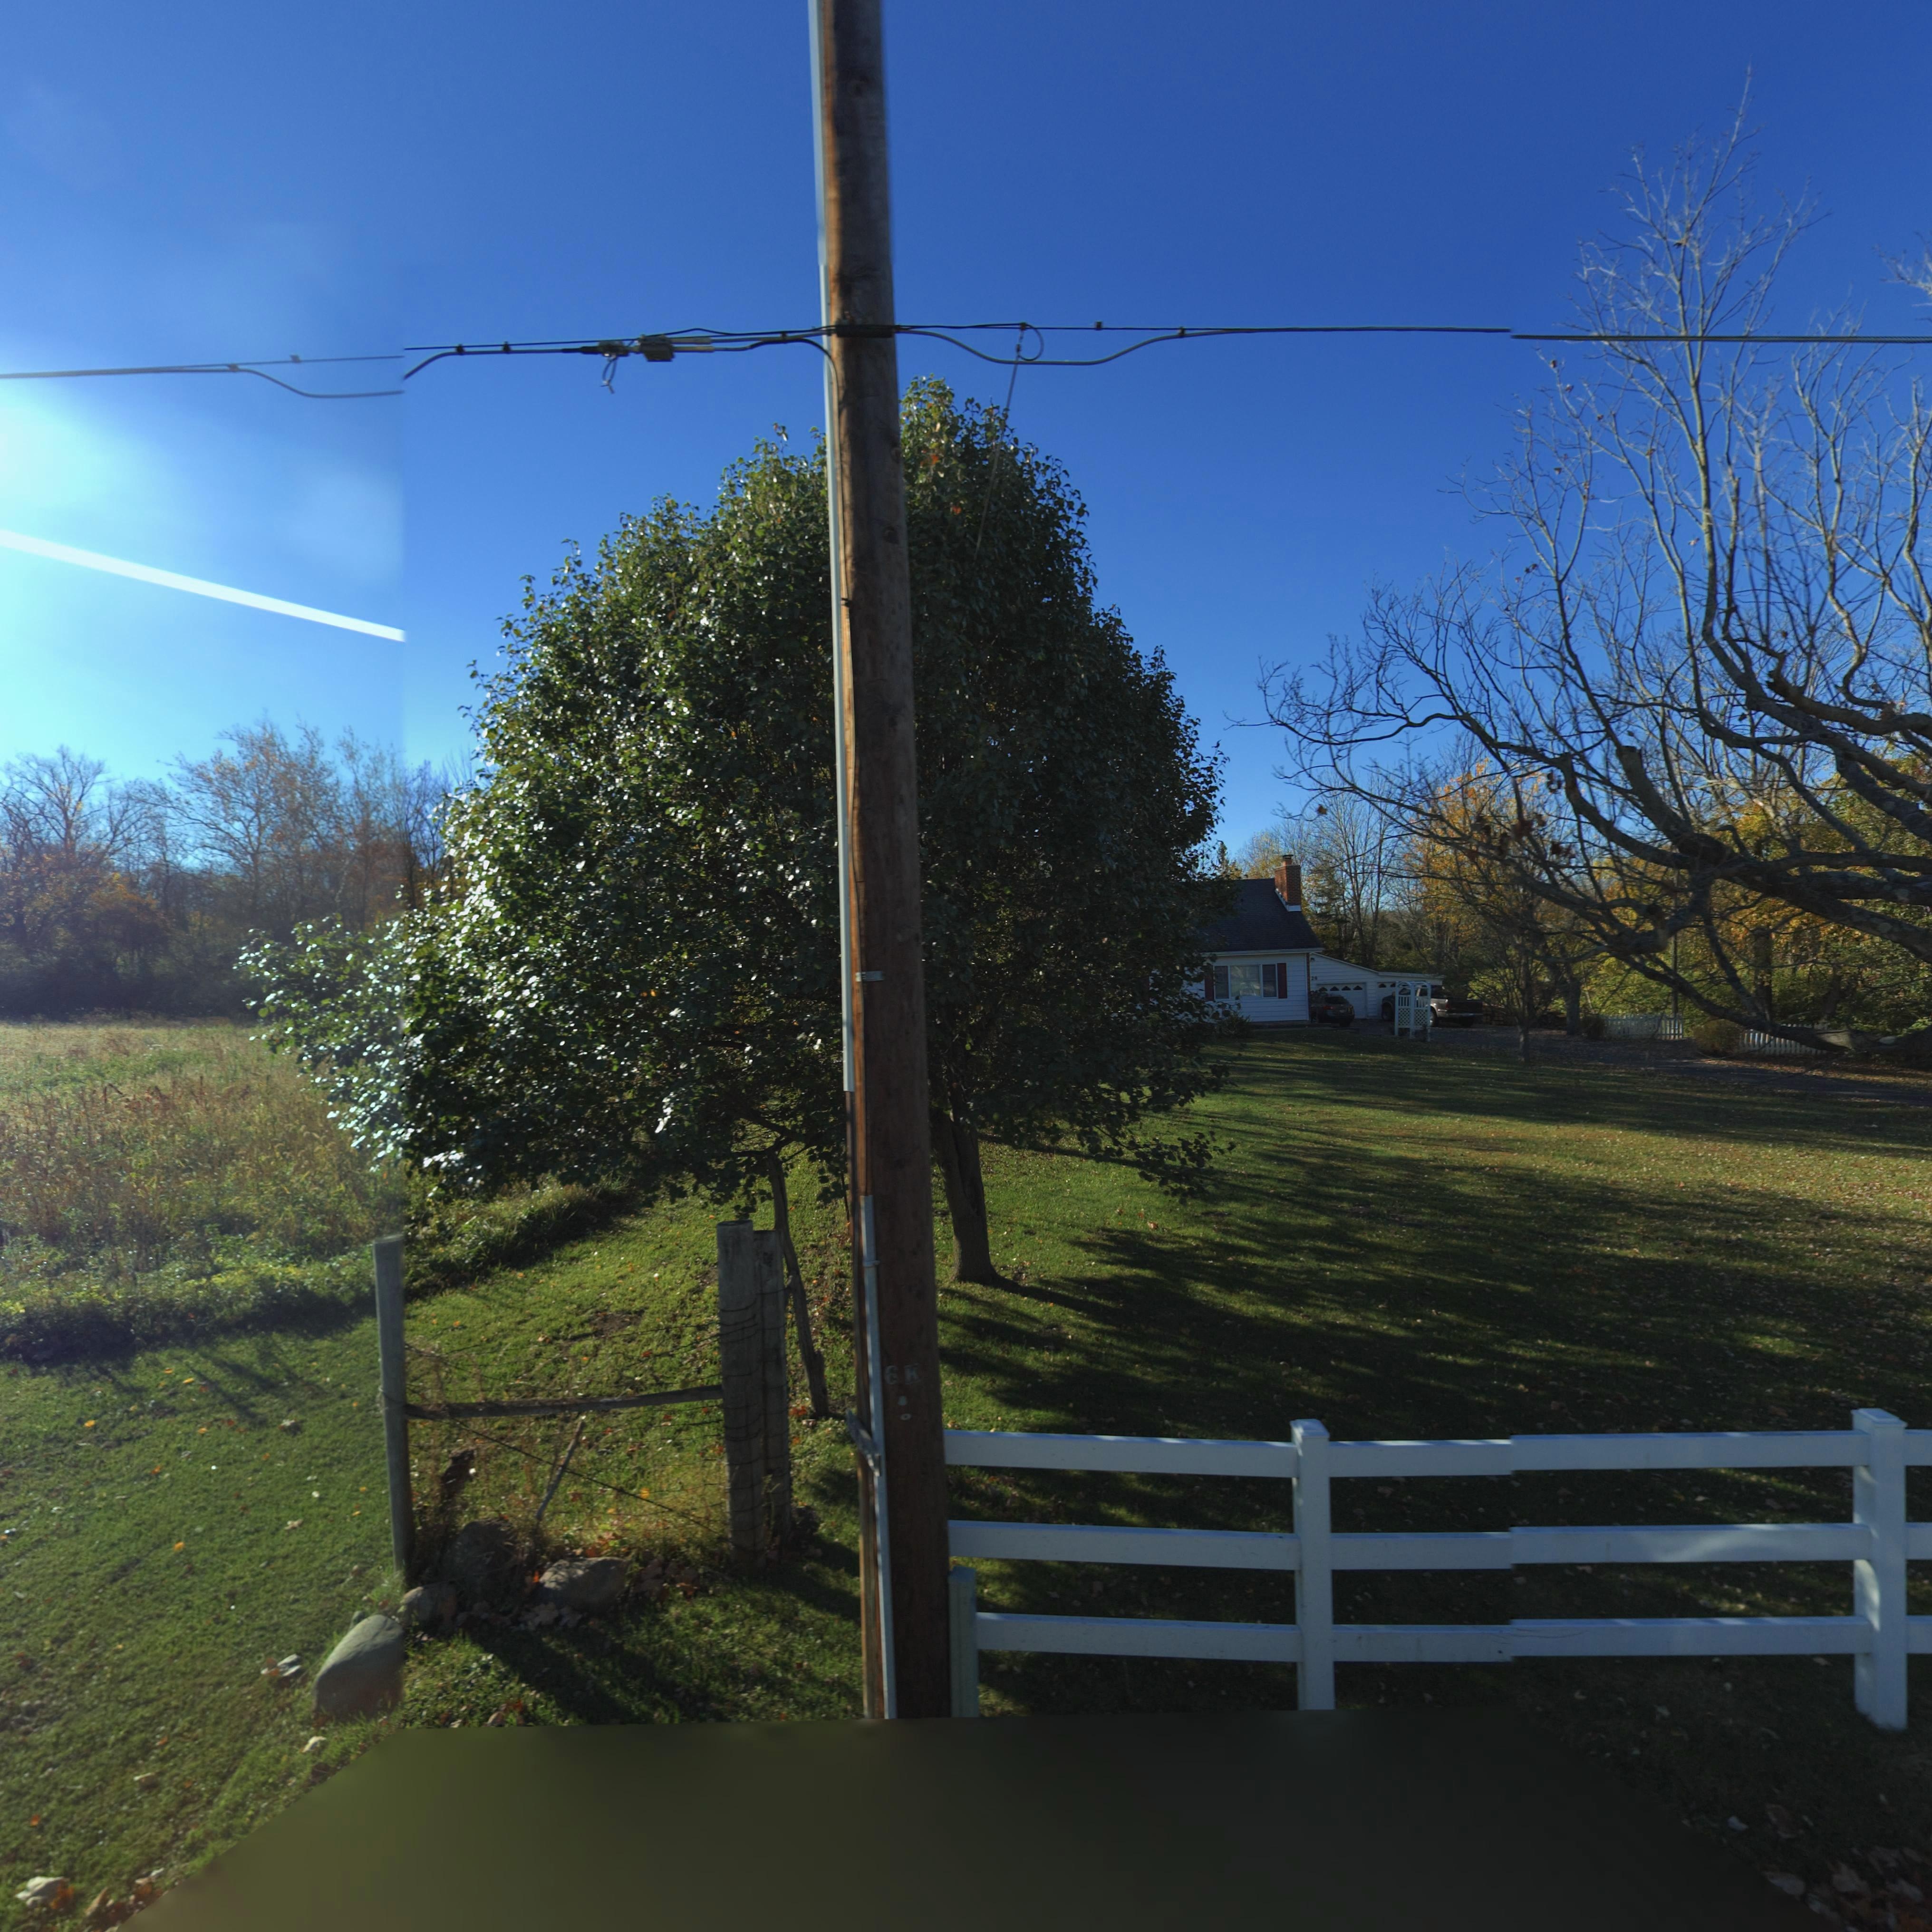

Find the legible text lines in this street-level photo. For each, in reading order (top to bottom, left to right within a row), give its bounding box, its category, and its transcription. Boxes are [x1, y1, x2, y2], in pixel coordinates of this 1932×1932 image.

[1310, 976, 1318, 981] StreetNumber: 2*